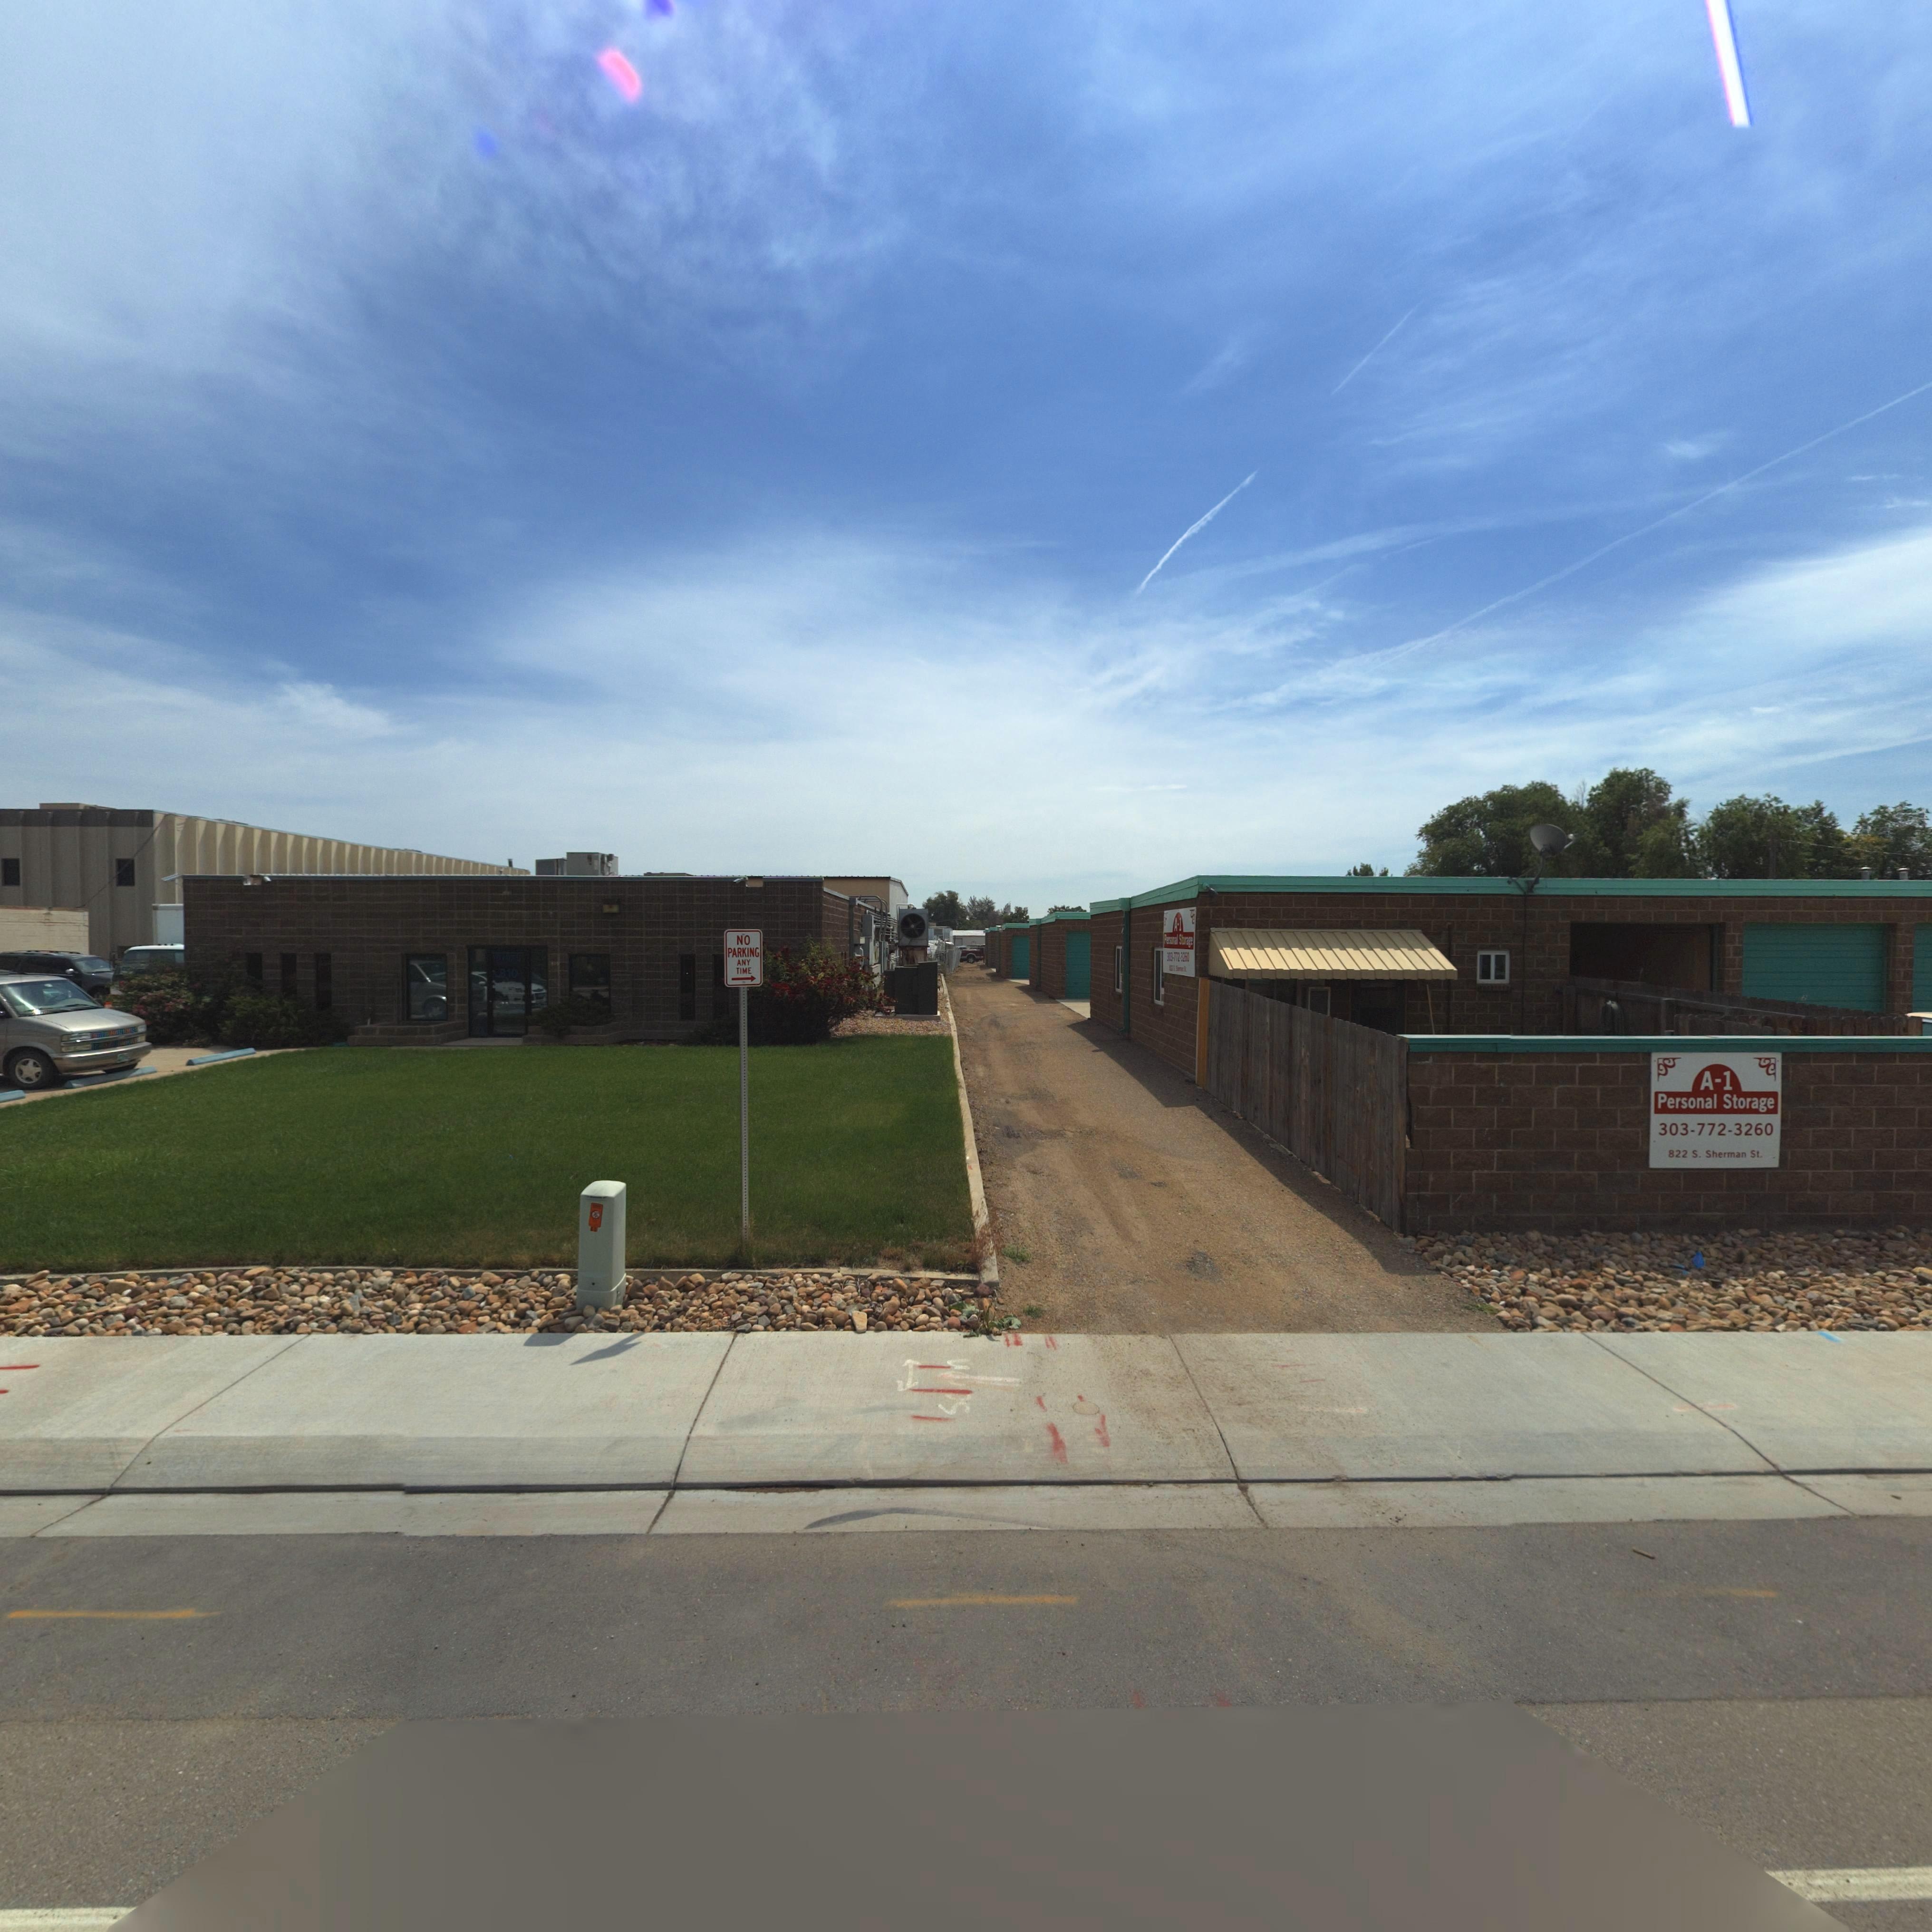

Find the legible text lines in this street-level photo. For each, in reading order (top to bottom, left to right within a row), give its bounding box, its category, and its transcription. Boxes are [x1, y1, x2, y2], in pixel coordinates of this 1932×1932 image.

[1173, 917, 1181, 931] BusinessName: A-1
[1164, 934, 1193, 948] BusinessName: Personal Storage
[1173, 965, 1187, 973] StreetName: S. Sherman St.
[1699, 1071, 1732, 1090] BusinessName: A-1
[1657, 1093, 1775, 1112] BusinessName: Personal Storage
[1667, 1149, 1688, 1158] StreetNumber: 822
[1691, 1150, 1763, 1158] StreetName: S. Sherman St.